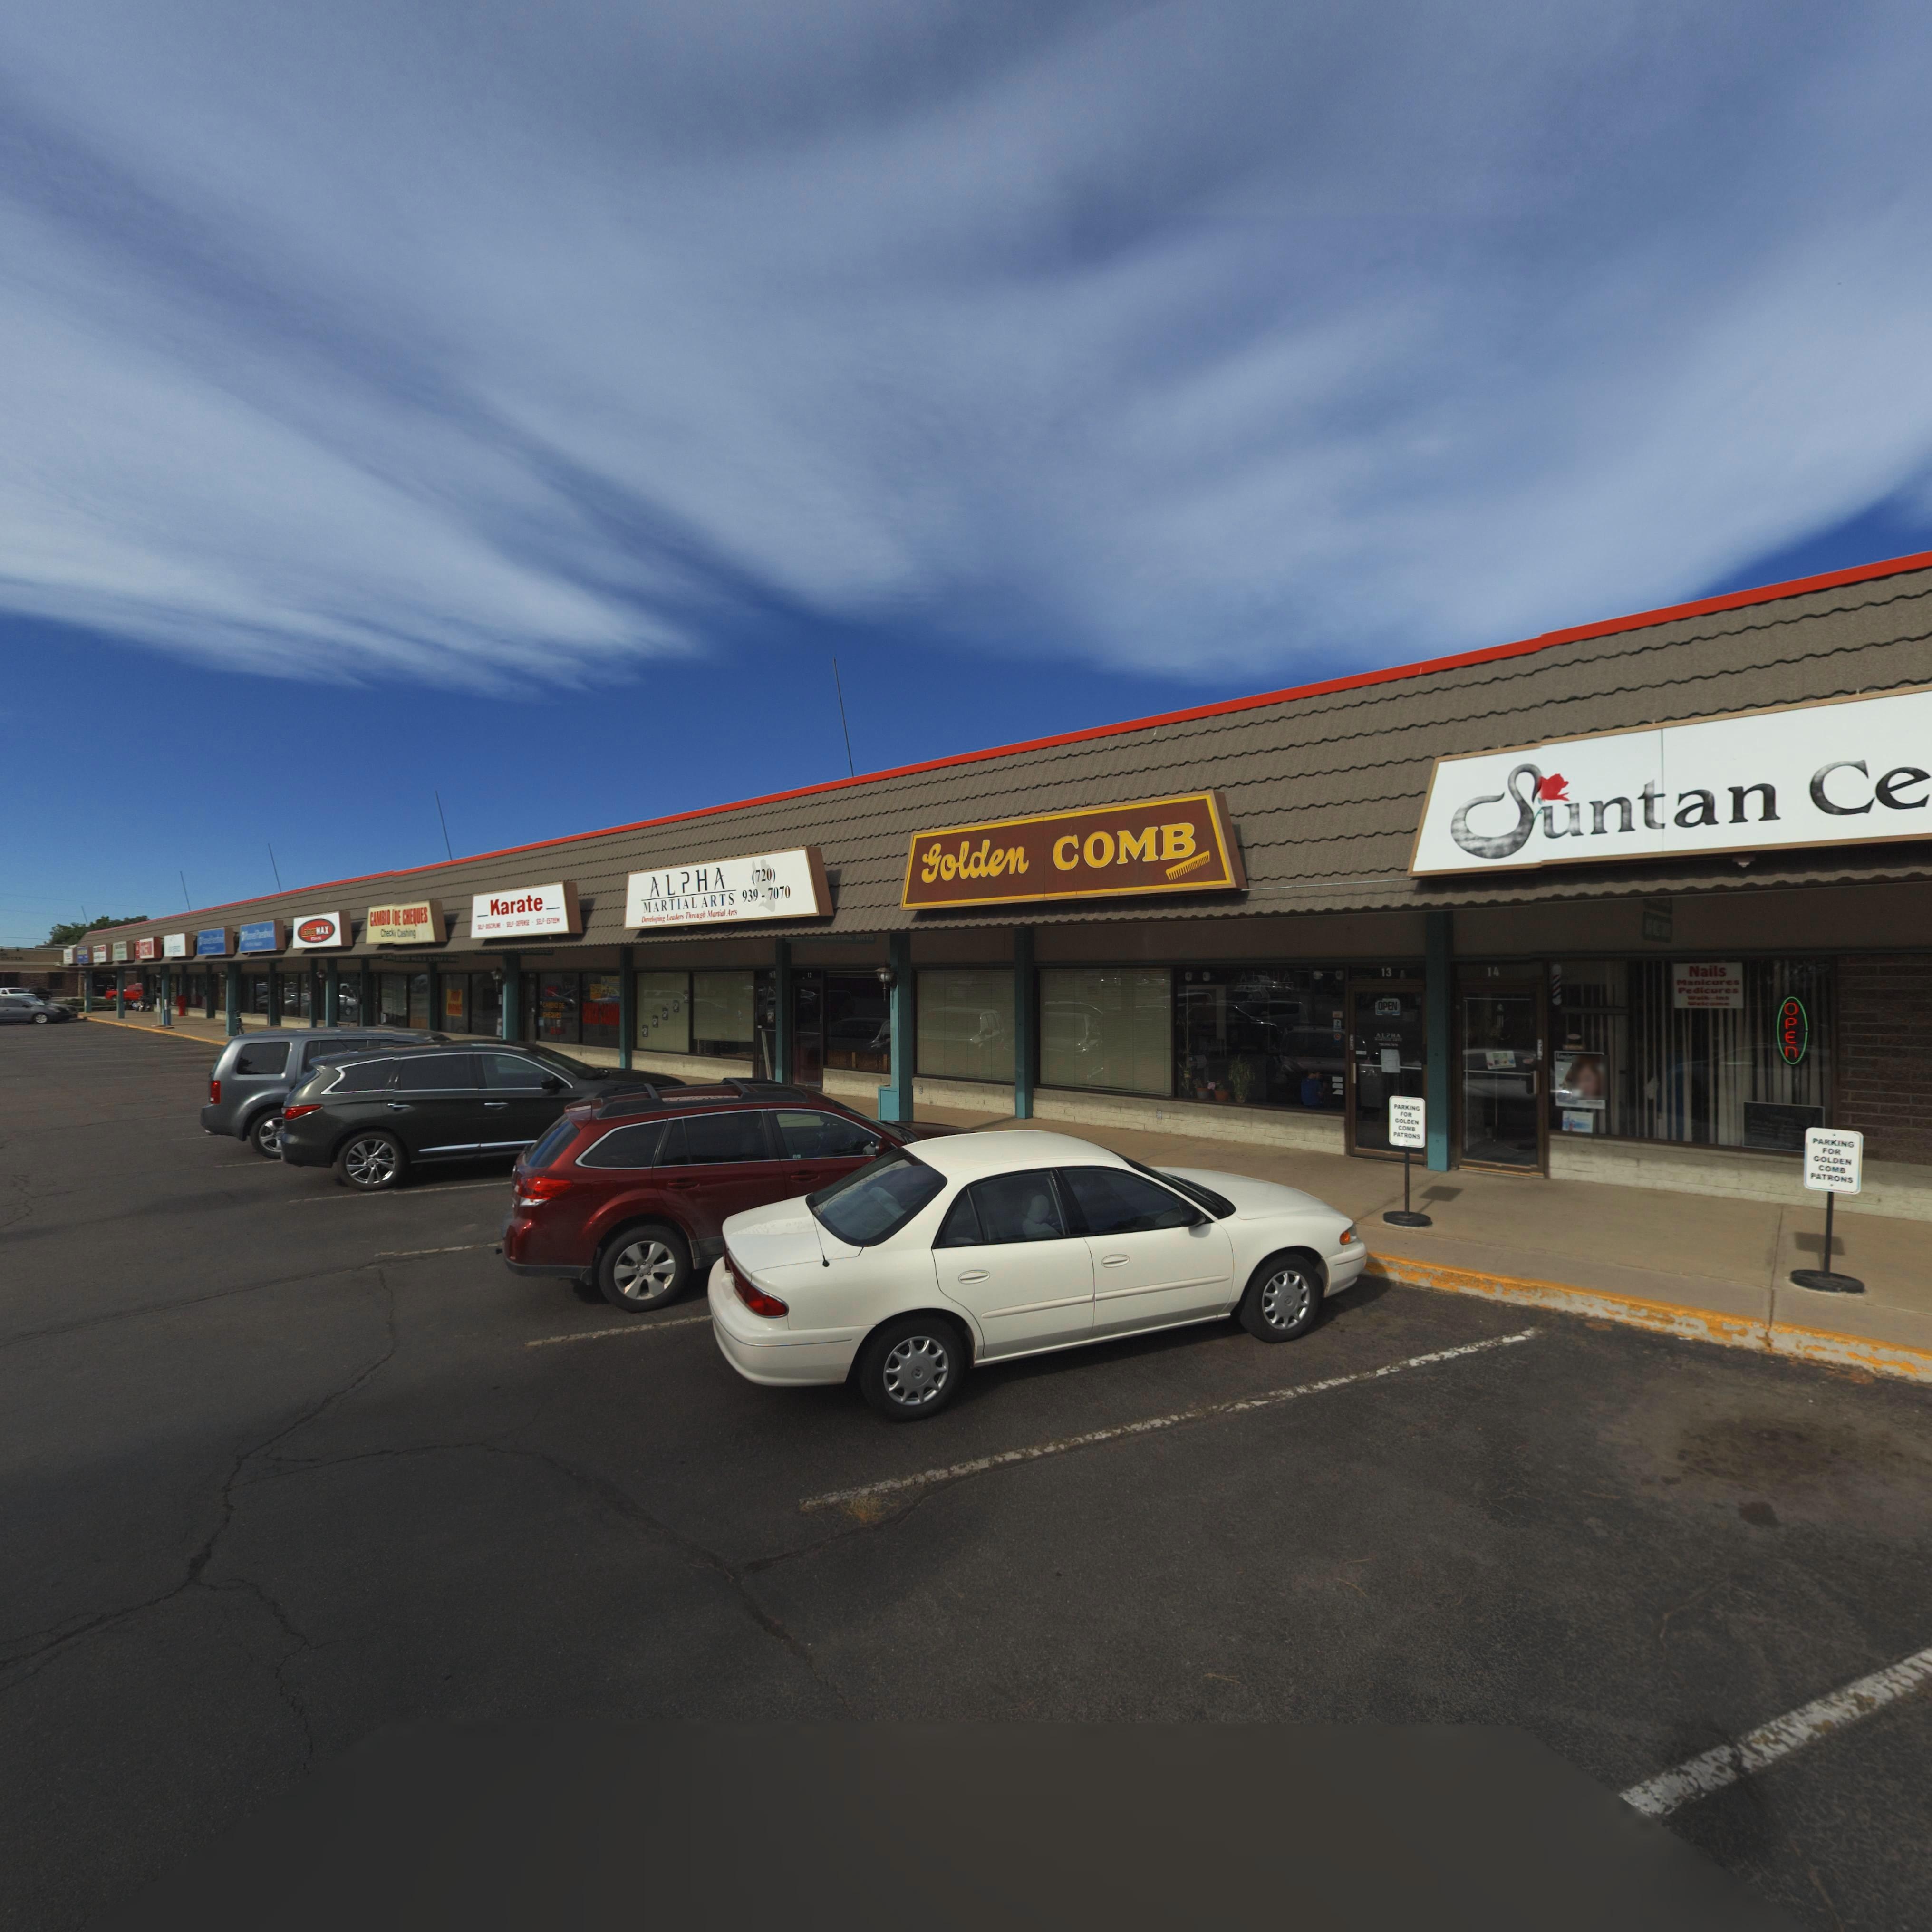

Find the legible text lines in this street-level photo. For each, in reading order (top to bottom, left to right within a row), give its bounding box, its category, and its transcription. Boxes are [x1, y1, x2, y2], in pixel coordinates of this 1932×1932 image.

[1449, 758, 1930, 863] BusinessName: Suntan Ce
[919, 821, 1198, 885] BusinessName: Golden COMB
[647, 864, 727, 898] BusinessName: ALPHA
[642, 890, 734, 914] BusinessName: MARTIAL ARTS
[369, 906, 428, 927] BusinessName: CAMBIO *DE CHEQUES
[300, 925, 329, 937] BusinessName: L***r MAX
[819, 934, 874, 941] BusinessName: *RTIAL ARTS
[382, 954, 460, 962] BusinessName: LA**** MA* STA**ING
[807, 972, 811, 978] StreetNumber: 12
[1238, 969, 1292, 982] BusinessName: Al*HA
[1381, 967, 1392, 977] StreetNumber: 13
[1486, 965, 1499, 978] StreetNumber: 14
[1375, 1032, 1401, 1038] BusinessName: ALPHA